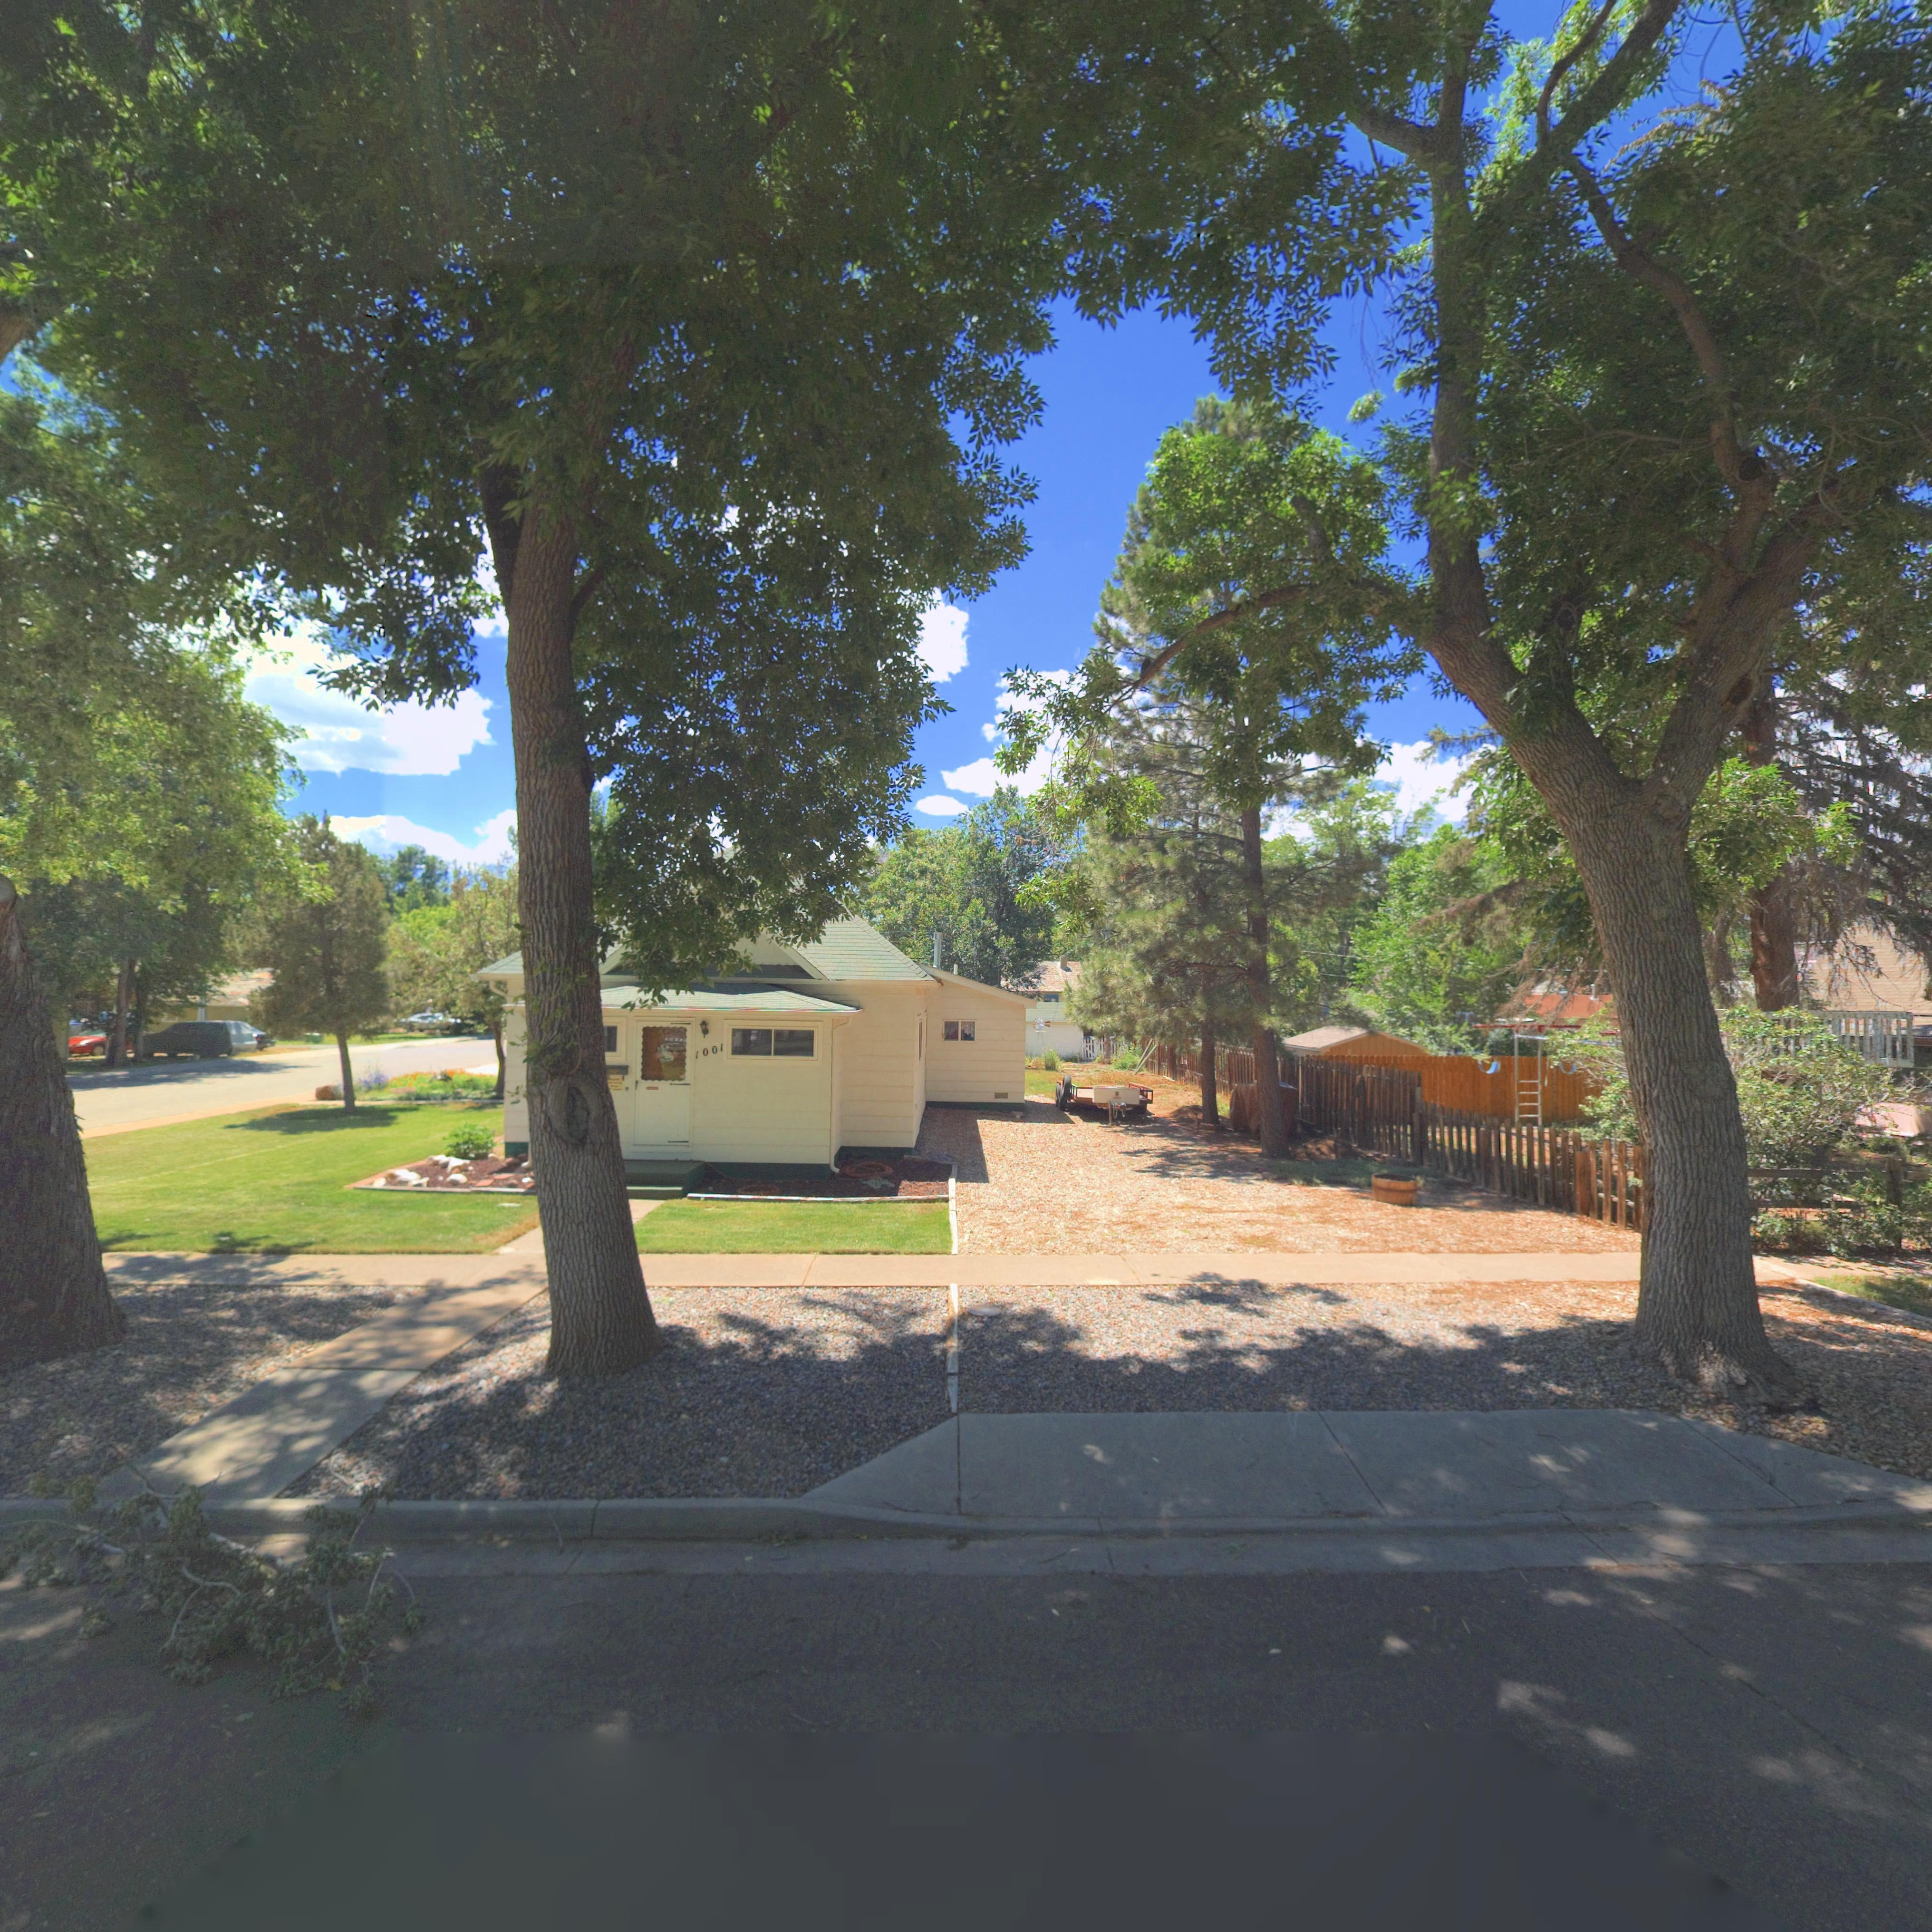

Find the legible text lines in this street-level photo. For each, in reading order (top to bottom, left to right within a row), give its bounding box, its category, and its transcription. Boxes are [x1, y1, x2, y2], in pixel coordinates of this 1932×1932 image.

[695, 1043, 723, 1060] StreetNumber: 1001